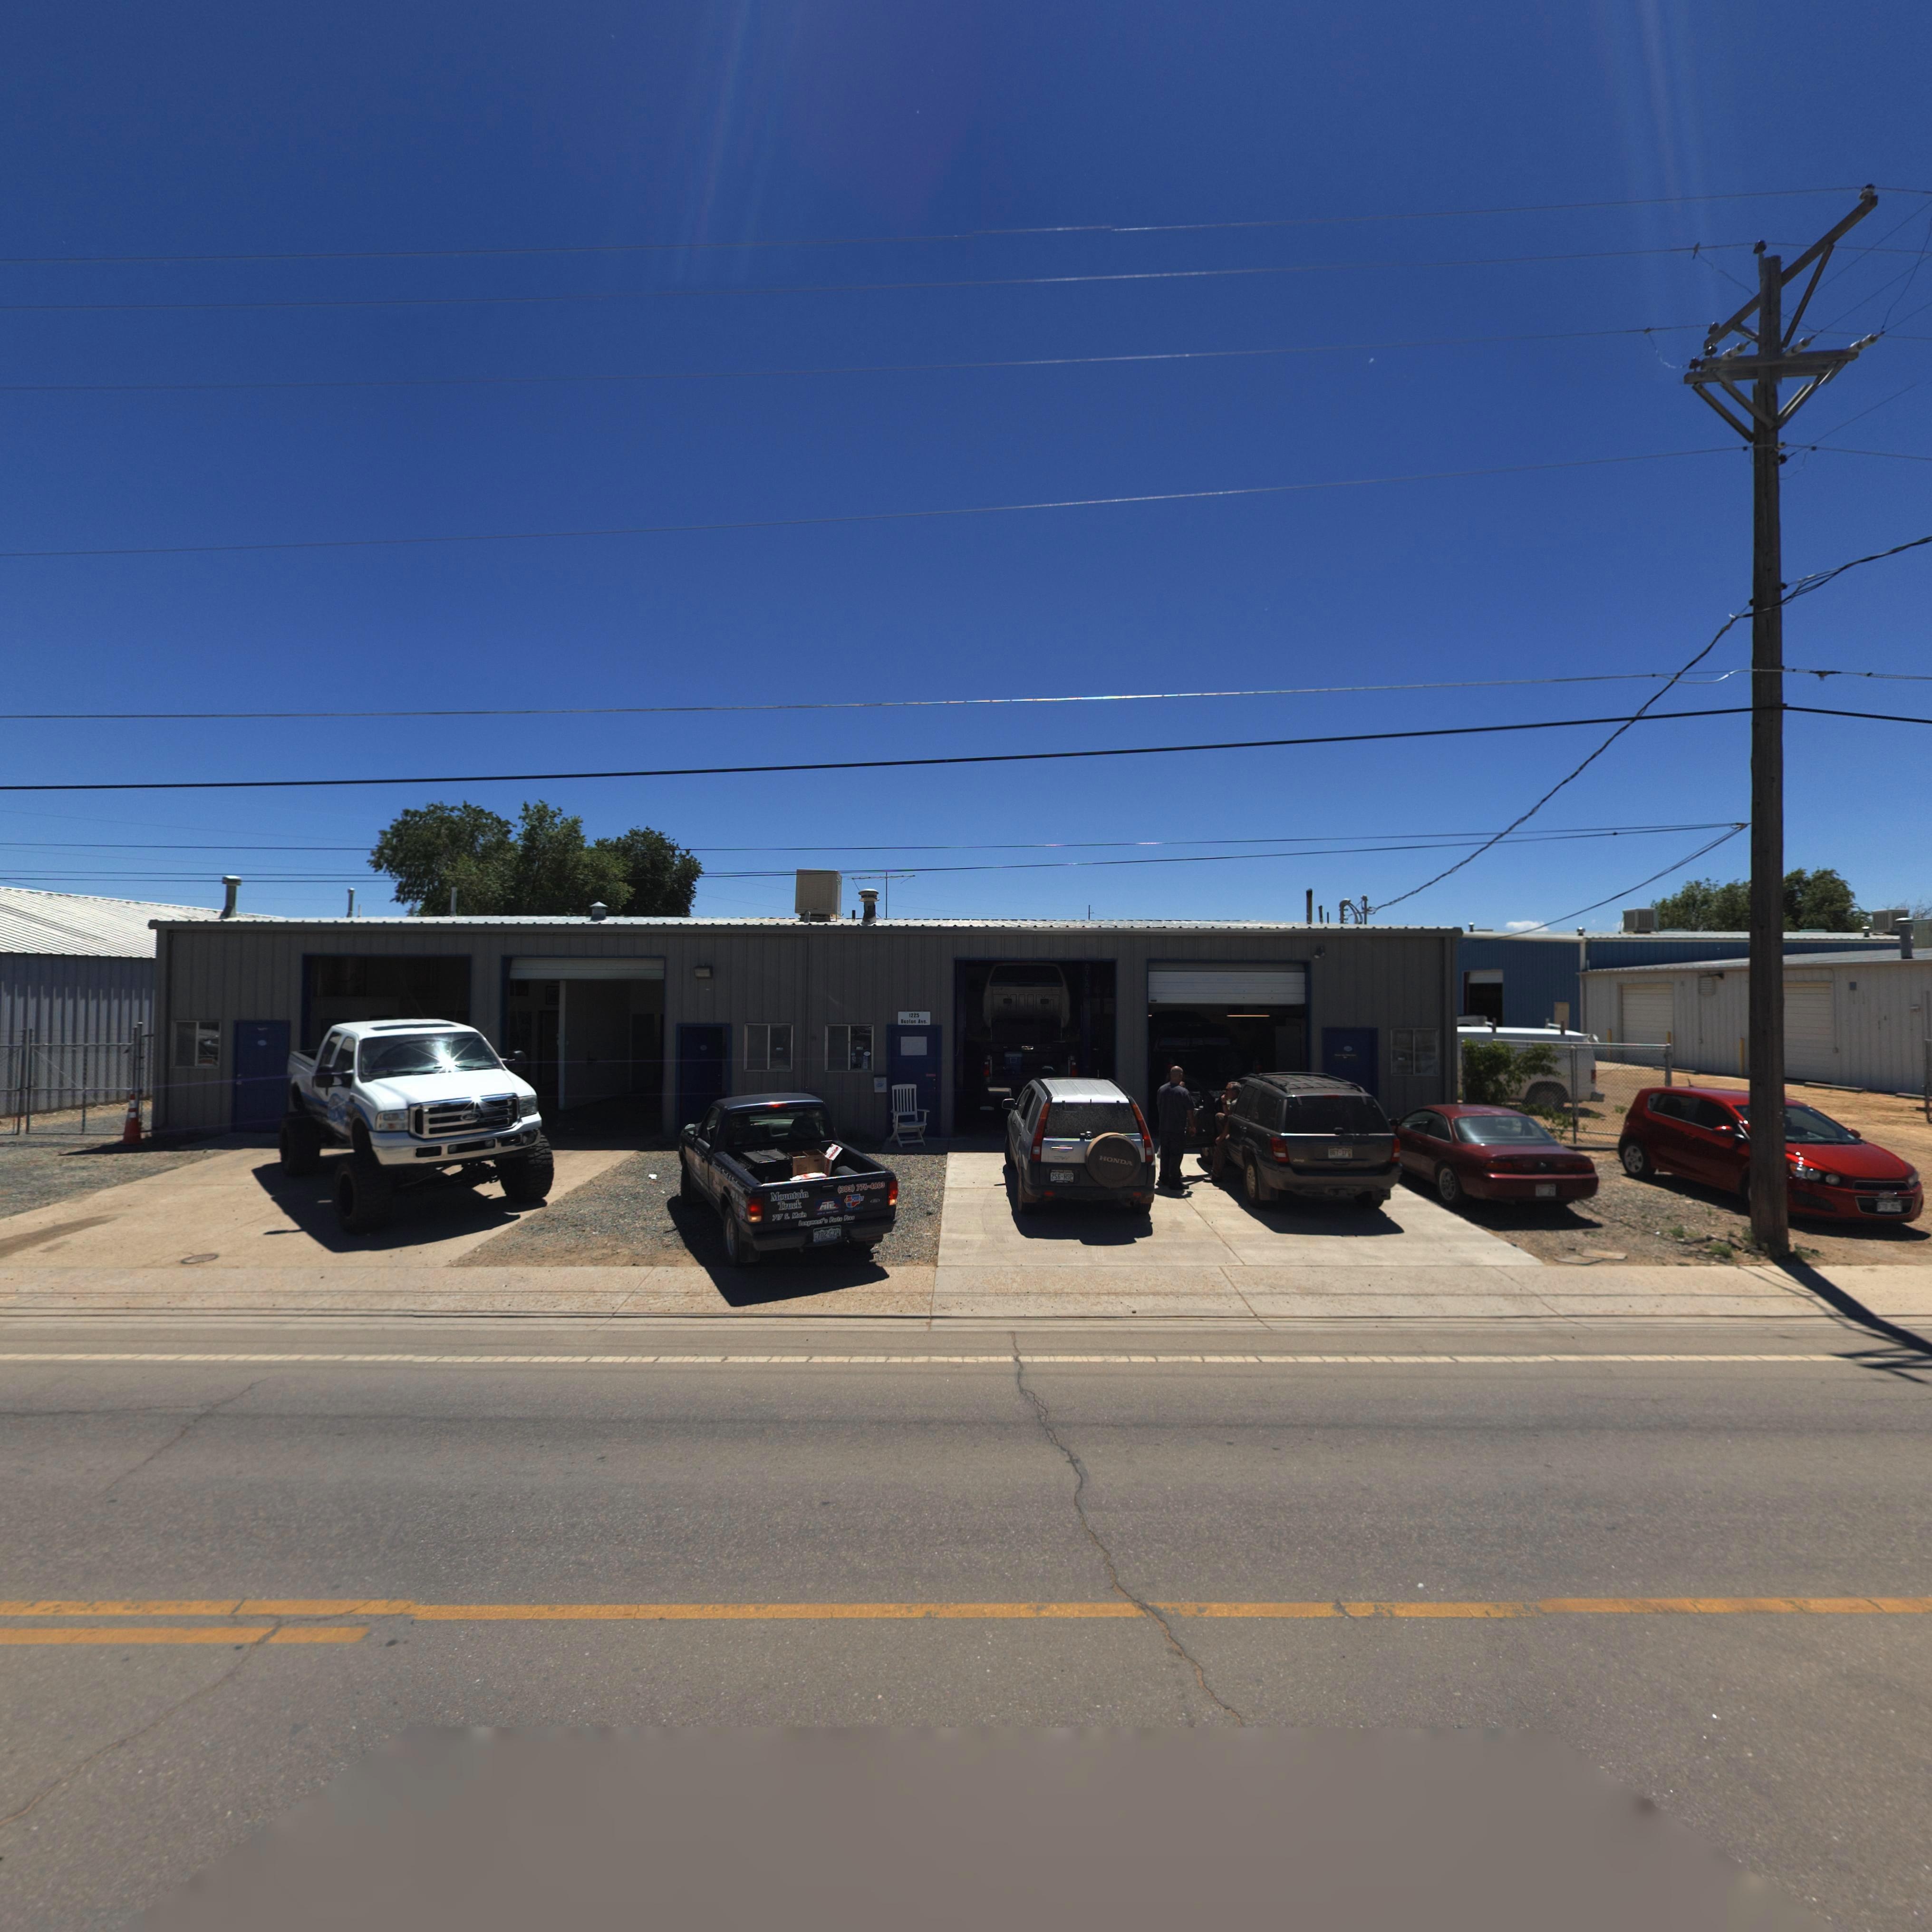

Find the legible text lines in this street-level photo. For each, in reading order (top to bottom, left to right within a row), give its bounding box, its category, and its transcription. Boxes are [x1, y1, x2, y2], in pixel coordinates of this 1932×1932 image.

[908, 1013, 919, 1018] StreetNumber: 1225
[900, 1018, 926, 1024] StreetName: Boston Ave